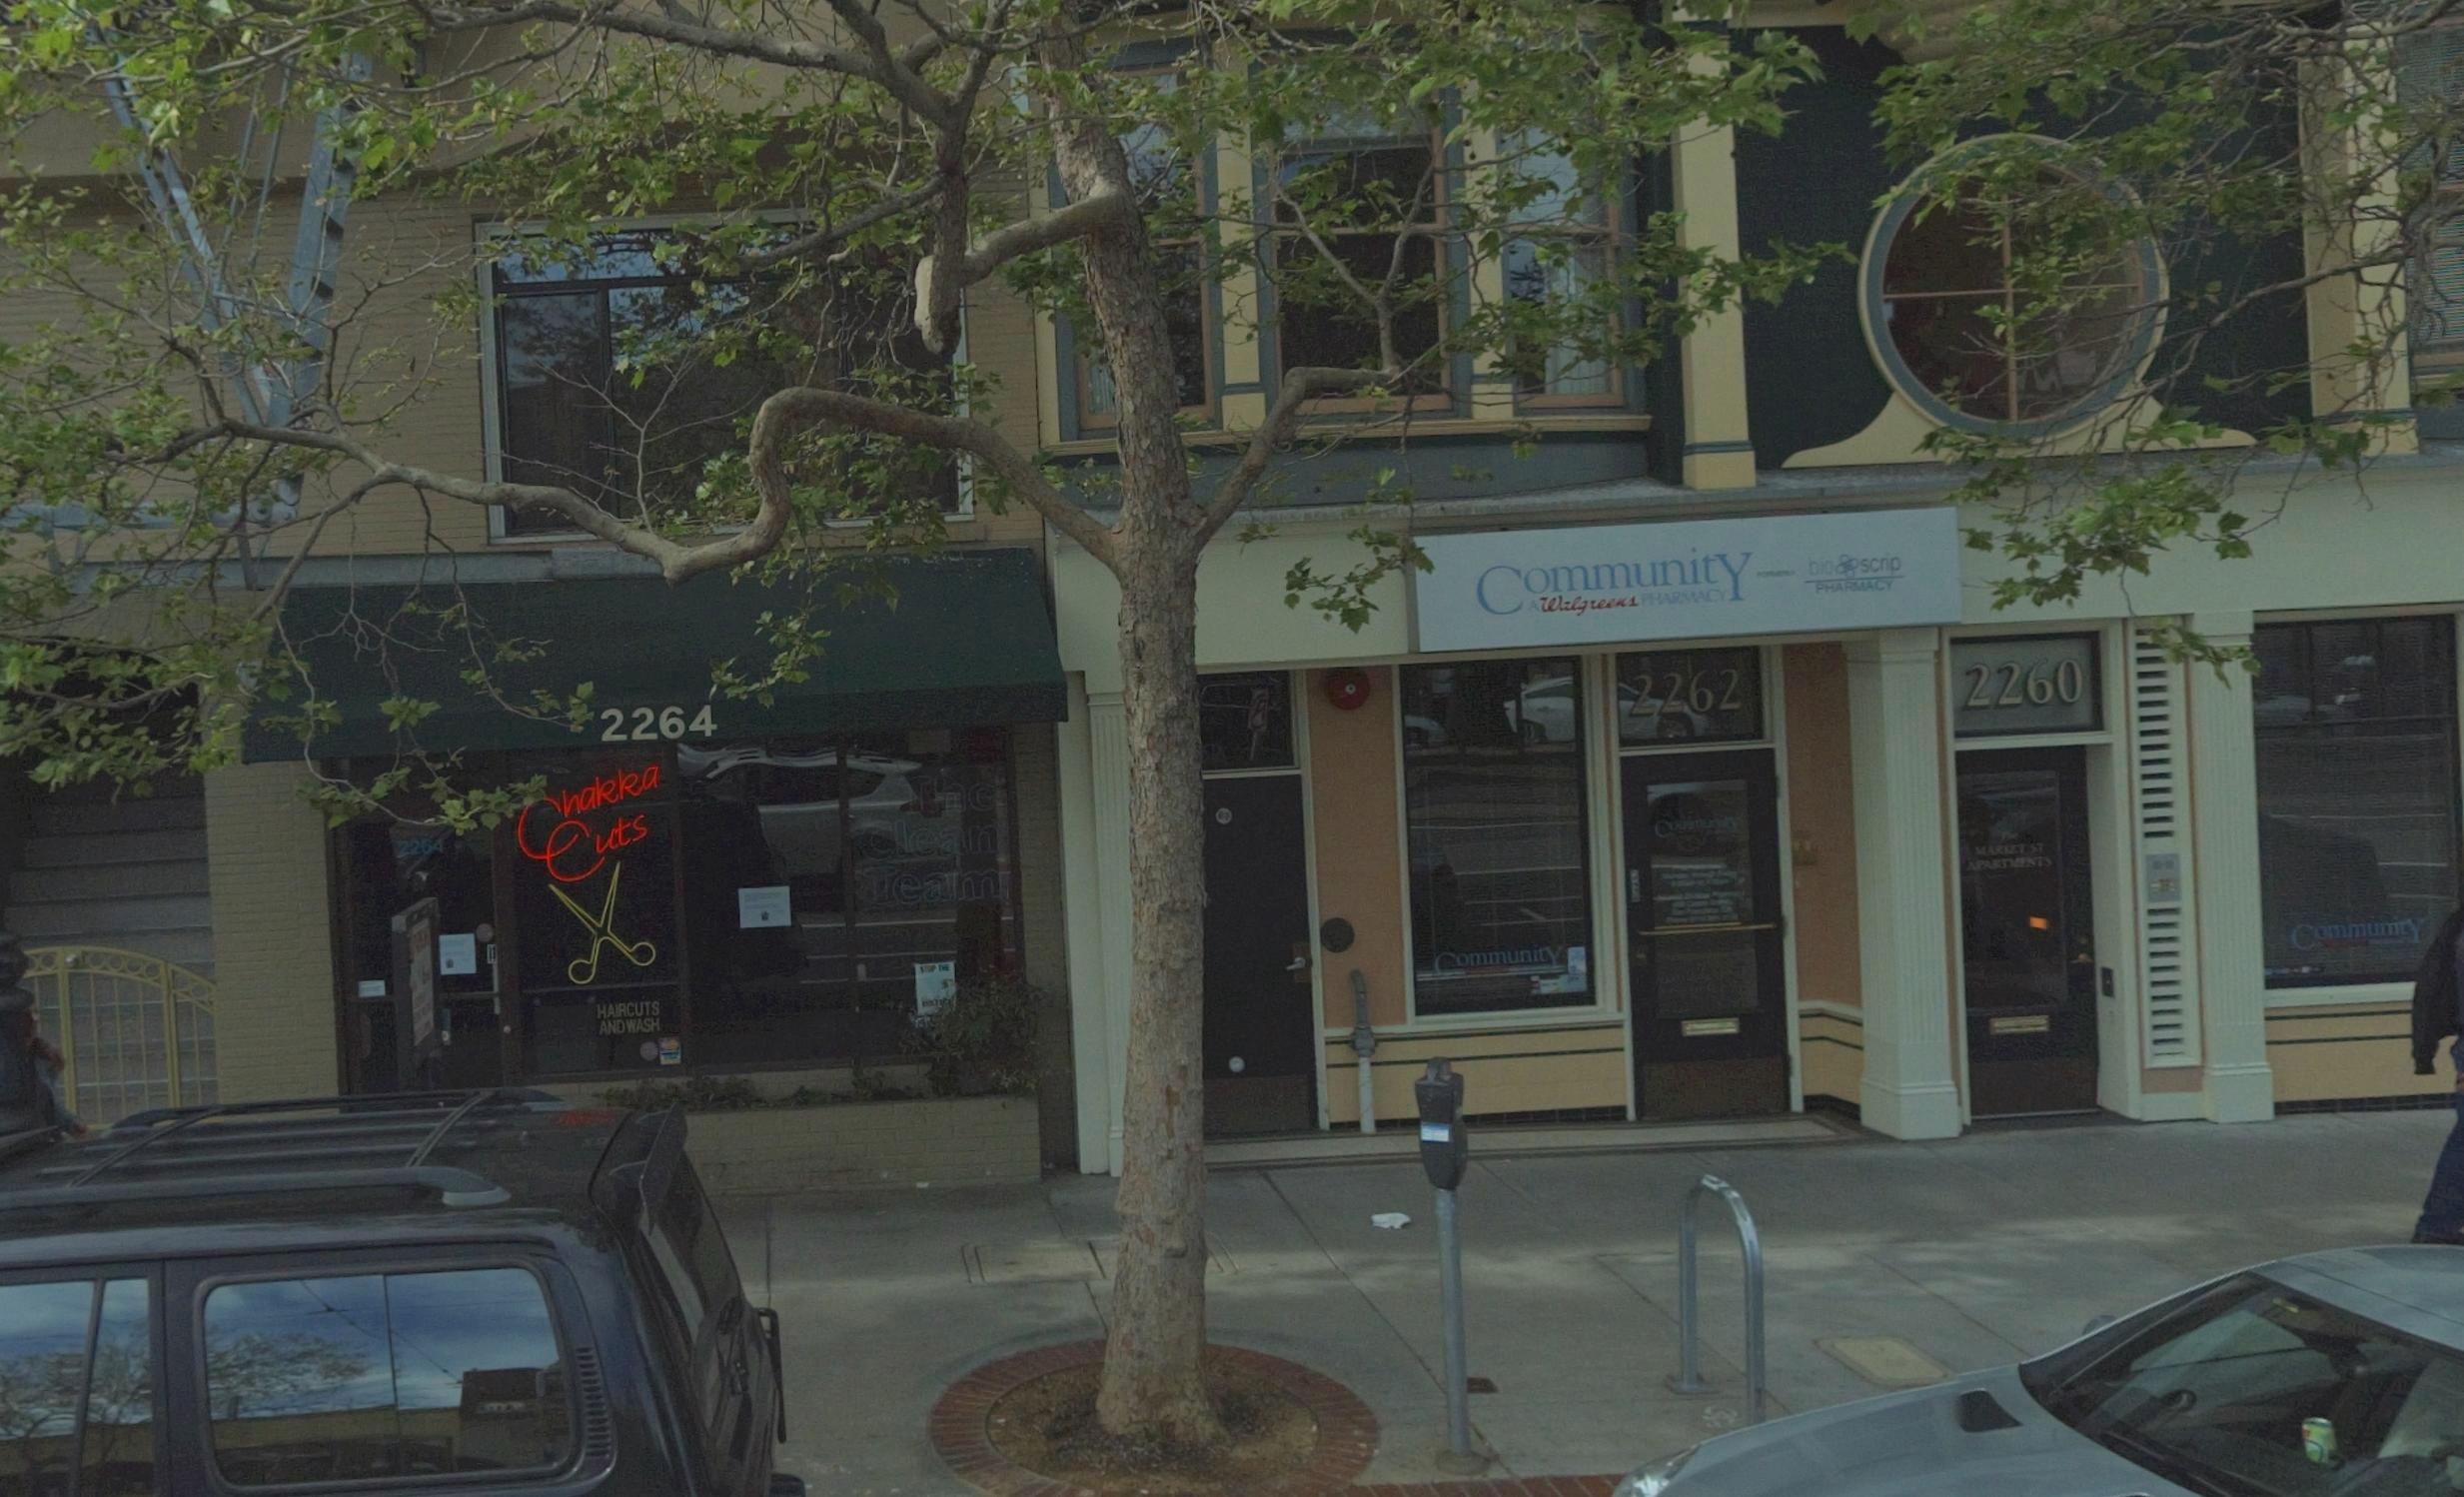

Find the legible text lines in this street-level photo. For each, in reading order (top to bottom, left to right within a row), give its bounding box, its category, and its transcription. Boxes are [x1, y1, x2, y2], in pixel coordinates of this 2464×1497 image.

[1471, 544, 1759, 619] BusinessName: CommunitY
[1523, 584, 1734, 619] None: A Walgreens PHARMACY
[1804, 550, 1904, 580] None: bio*scrip
[1813, 579, 1896, 595] None: PHARMACY
[1627, 665, 1745, 719] StreetNumber: 2262
[1960, 655, 2086, 714] StreetNumber: 2260
[597, 700, 722, 746] StreetNumber: 2264
[512, 761, 663, 865] BusinessName: Chakka
[894, 771, 998, 817] None: The
[543, 809, 652, 886] BusinessName: Cuts
[855, 815, 1004, 864] None: Clean
[1961, 851, 2055, 875] None: APARTMENTS
[1972, 838, 2049, 859] None: MARKET ST
[860, 864, 1005, 910] None: Team
[2288, 915, 2429, 954] BusinessName: CommunitY
[1430, 940, 1568, 980] BusinessName: CommunitY
[594, 997, 662, 1021] None: HAIRCUTS
[596, 1014, 664, 1039] None: AND WASH